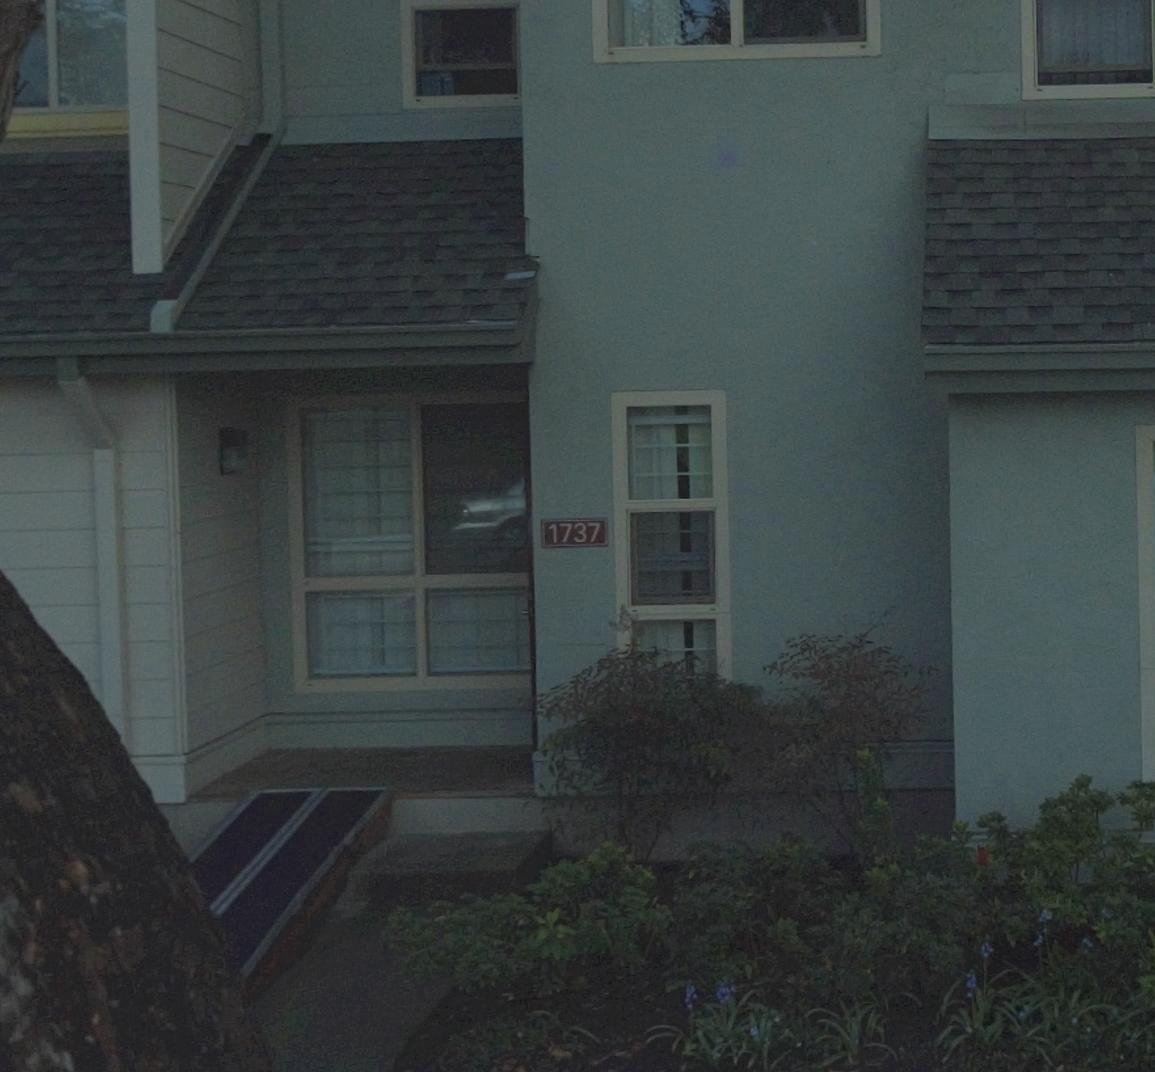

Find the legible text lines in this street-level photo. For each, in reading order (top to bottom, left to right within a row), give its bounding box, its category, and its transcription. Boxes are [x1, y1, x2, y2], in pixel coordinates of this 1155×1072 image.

[546, 520, 604, 545] StreetNumber: 1737